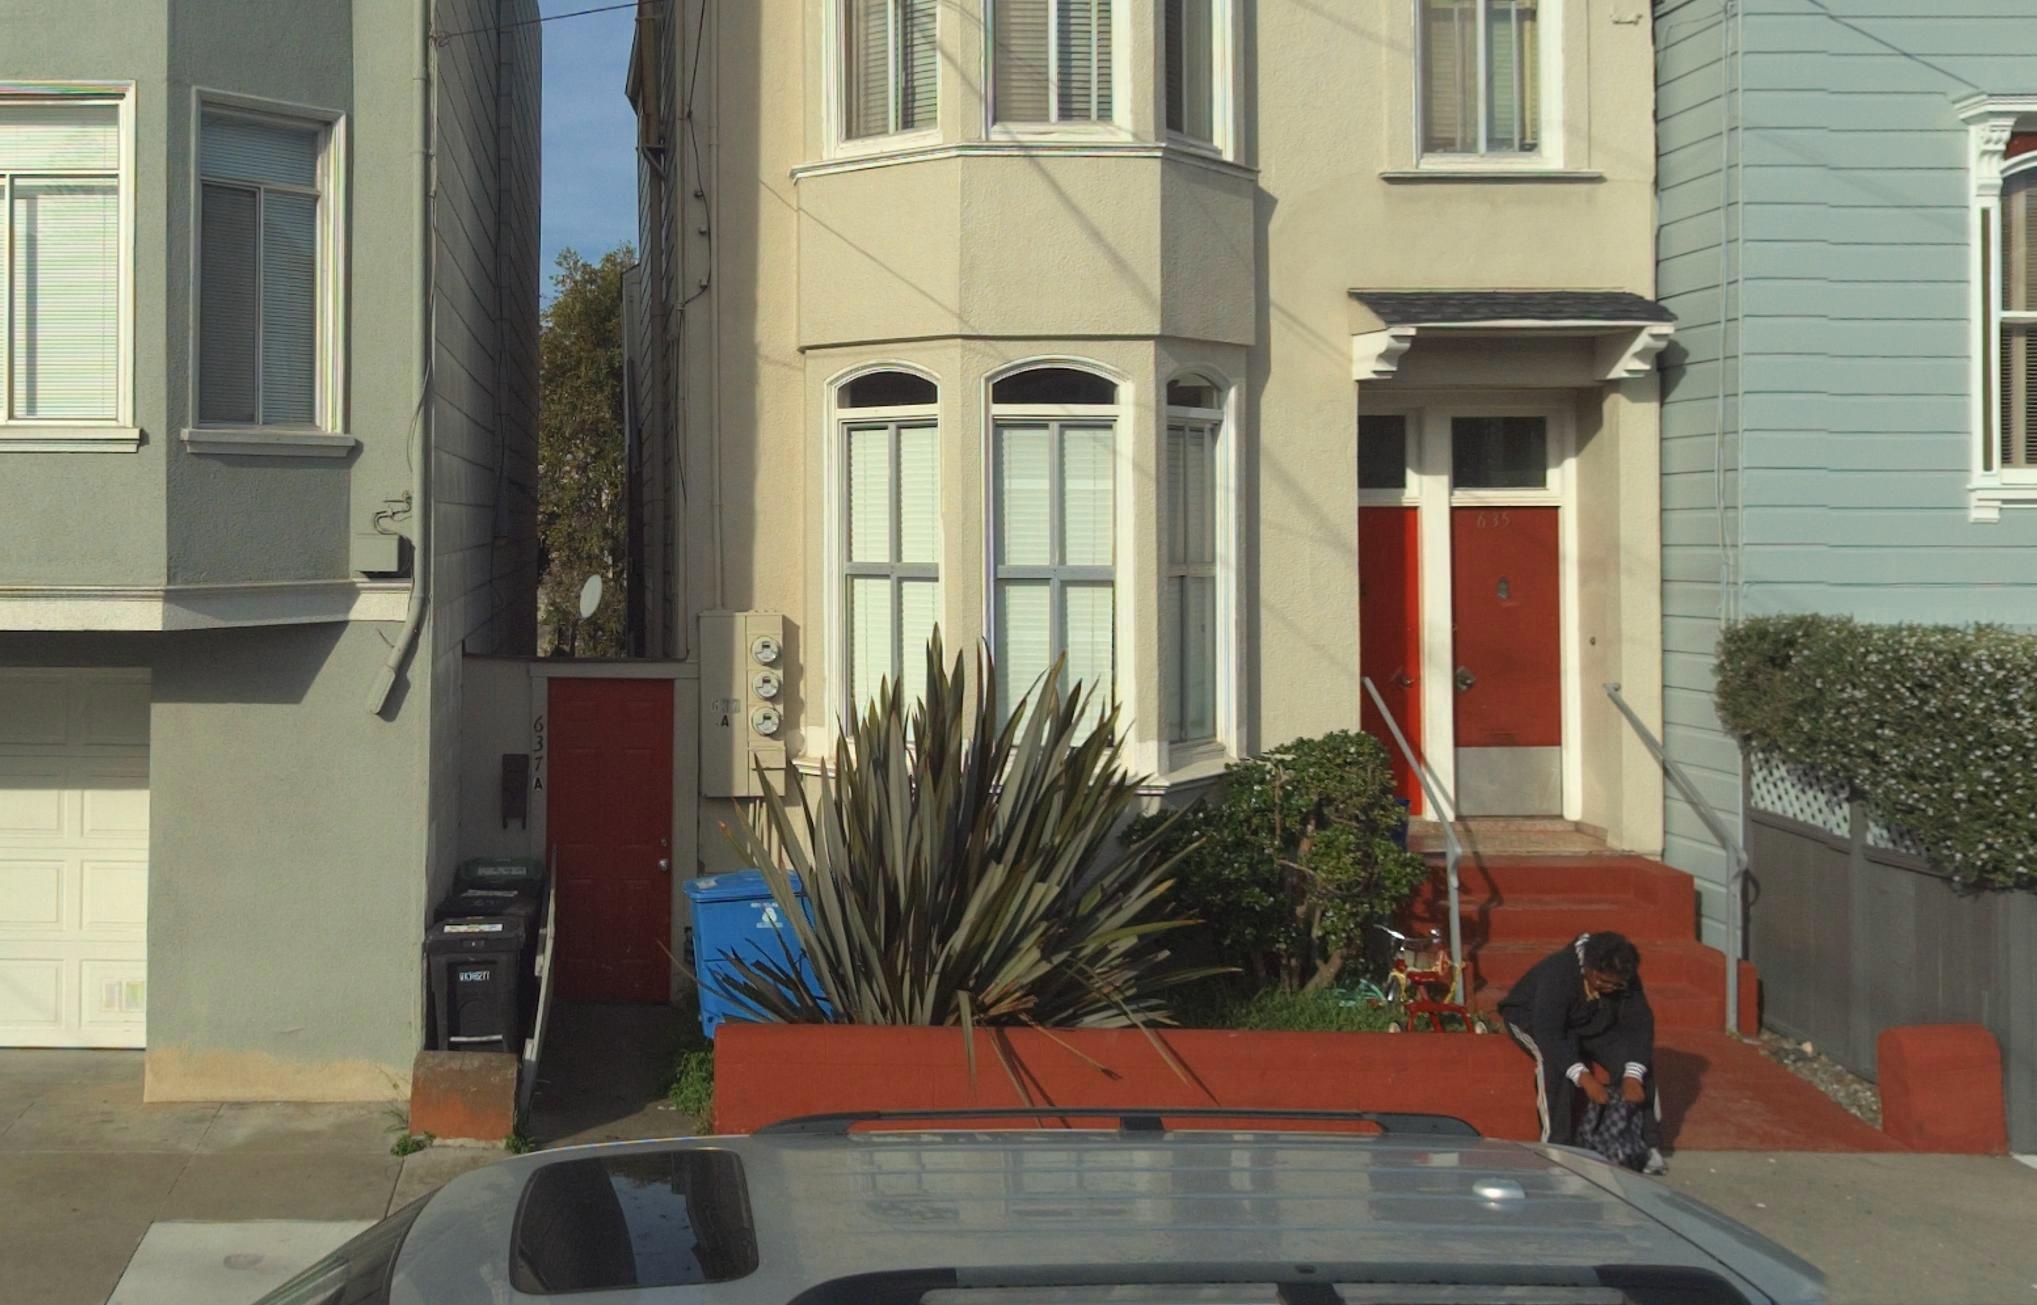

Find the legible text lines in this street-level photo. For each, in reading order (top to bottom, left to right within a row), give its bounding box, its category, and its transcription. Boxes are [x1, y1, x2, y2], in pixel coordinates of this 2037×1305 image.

[1474, 509, 1512, 531] StreetNumber: 635
[708, 696, 742, 714] StreetNumber: 637
[718, 712, 731, 729] StreetNumber: A
[530, 712, 547, 793] StreetNumber: 637 A